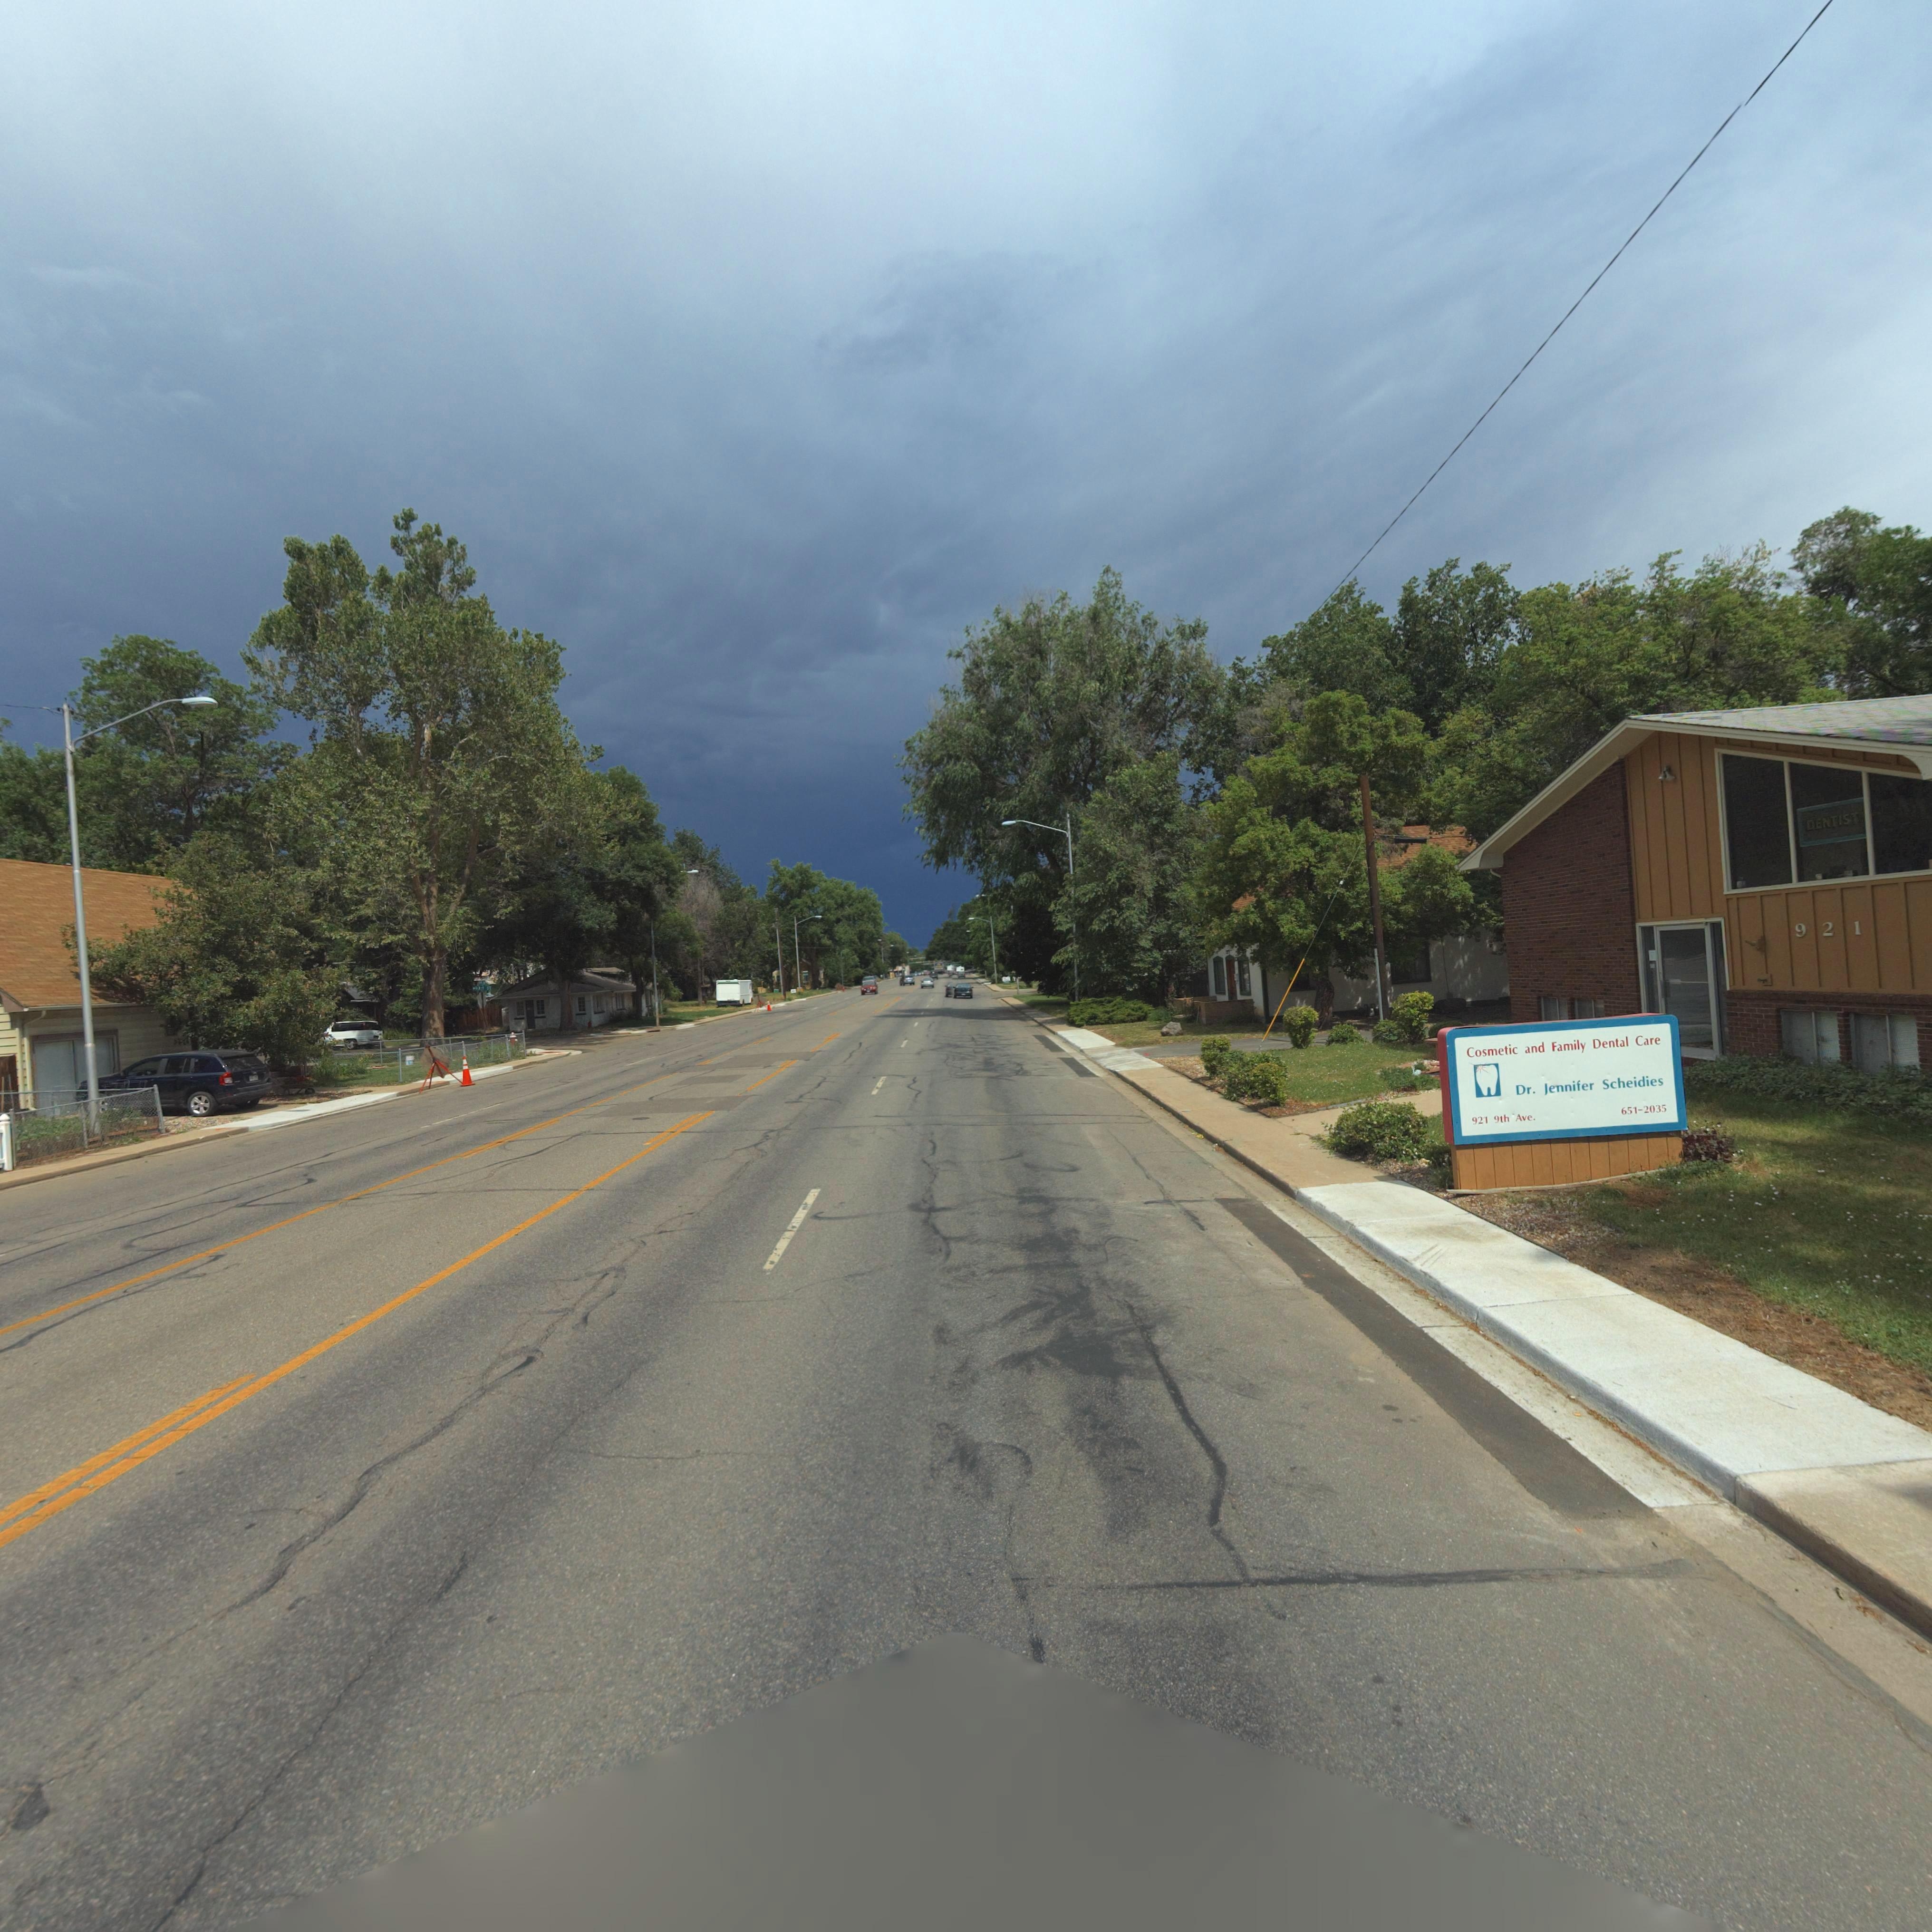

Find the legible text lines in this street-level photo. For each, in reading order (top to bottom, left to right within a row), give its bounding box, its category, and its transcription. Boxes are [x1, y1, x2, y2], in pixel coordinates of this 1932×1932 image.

[1794, 919, 1862, 938] StreetNumber: 921
[472, 986, 491, 991] StreetName: **ATT ST
[1466, 1034, 1661, 1058] BusinessName: Cosmetic and Family Dental Care
[1515, 1075, 1664, 1096] BusinessName: Dr. Jennifer Scheidies
[1471, 1115, 1488, 1125] StreetNumber: 921
[1493, 1113, 1536, 1123] StreetName: 9th Ave.